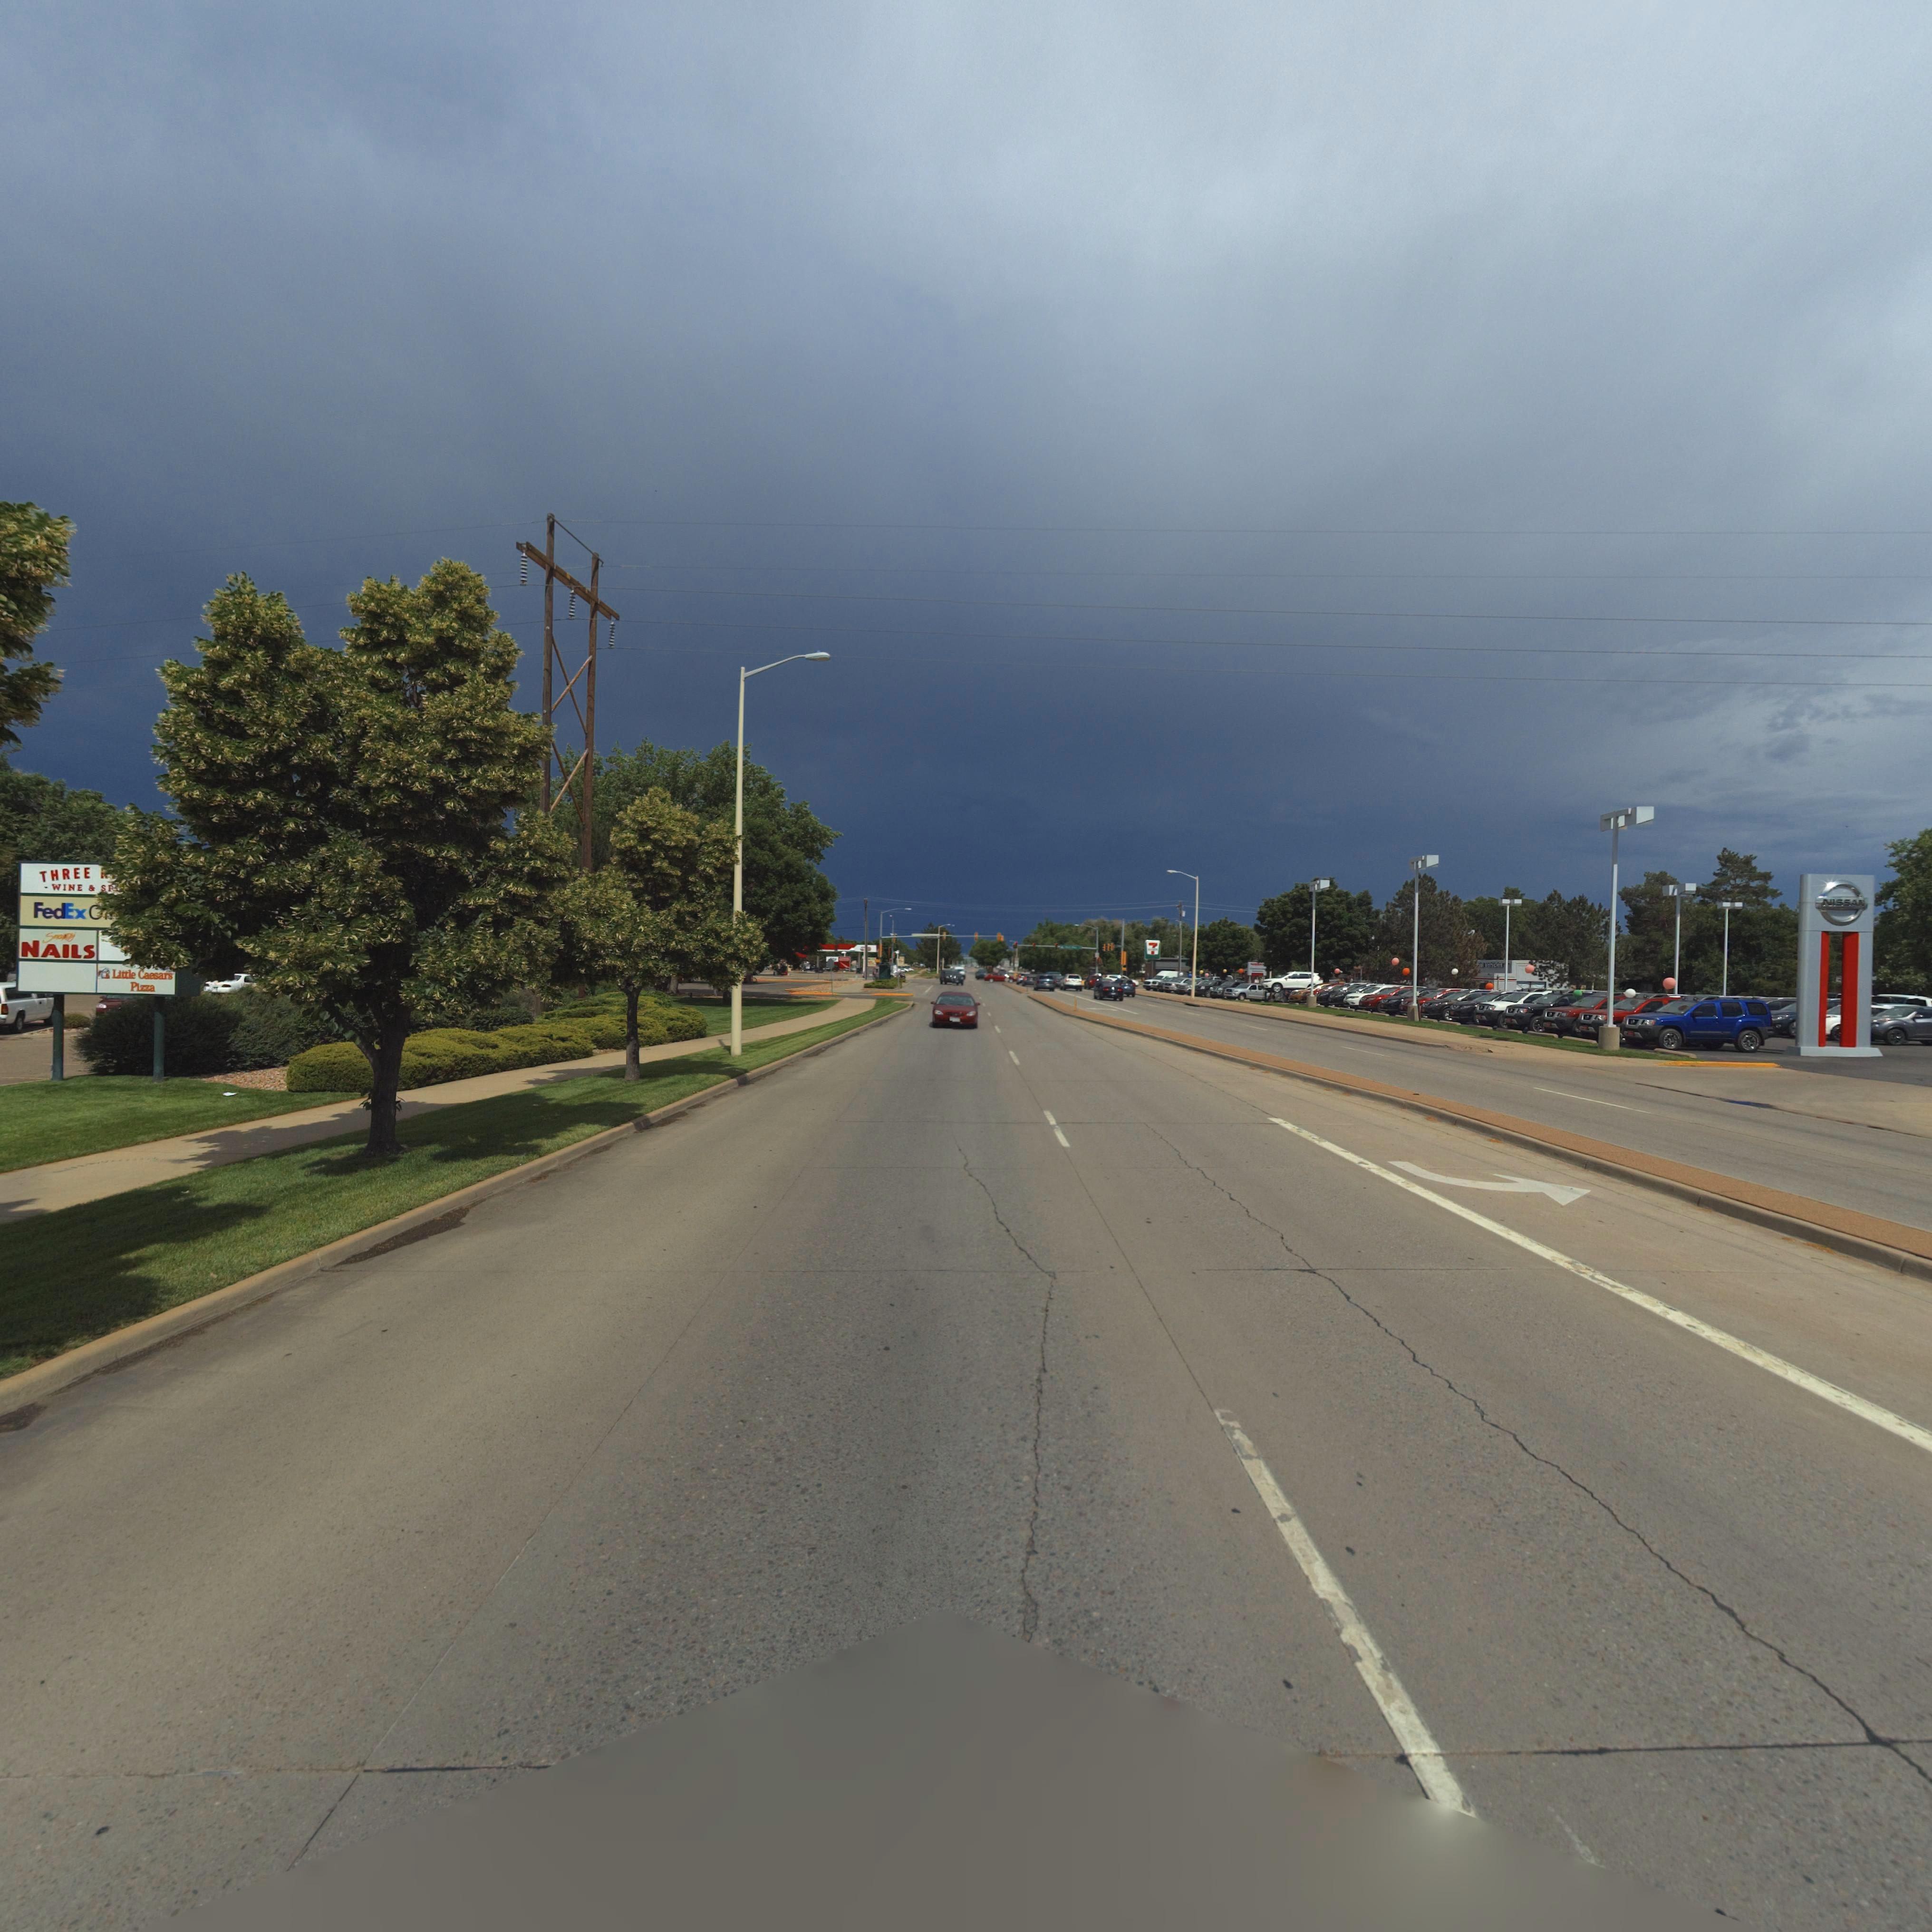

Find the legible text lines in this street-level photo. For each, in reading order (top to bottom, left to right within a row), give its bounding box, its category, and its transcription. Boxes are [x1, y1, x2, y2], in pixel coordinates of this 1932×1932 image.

[39, 867, 91, 883] BusinessName: THREE
[51, 883, 114, 892] BusinessName: WINE & S*
[1822, 898, 1865, 907] BusinessName: NISSAN
[33, 901, 87, 919] BusinessName: FedEx
[42, 931, 76, 943] BusinessName: Snappy
[21, 940, 95, 959] BusinessName: NAILS
[1148, 942, 1158, 955] BusinessName: 7
[1250, 962, 1265, 966] BusinessName: NISSAN
[112, 968, 173, 980] BusinessName: Little Caesars
[129, 981, 155, 992] BusinessName: Pizza